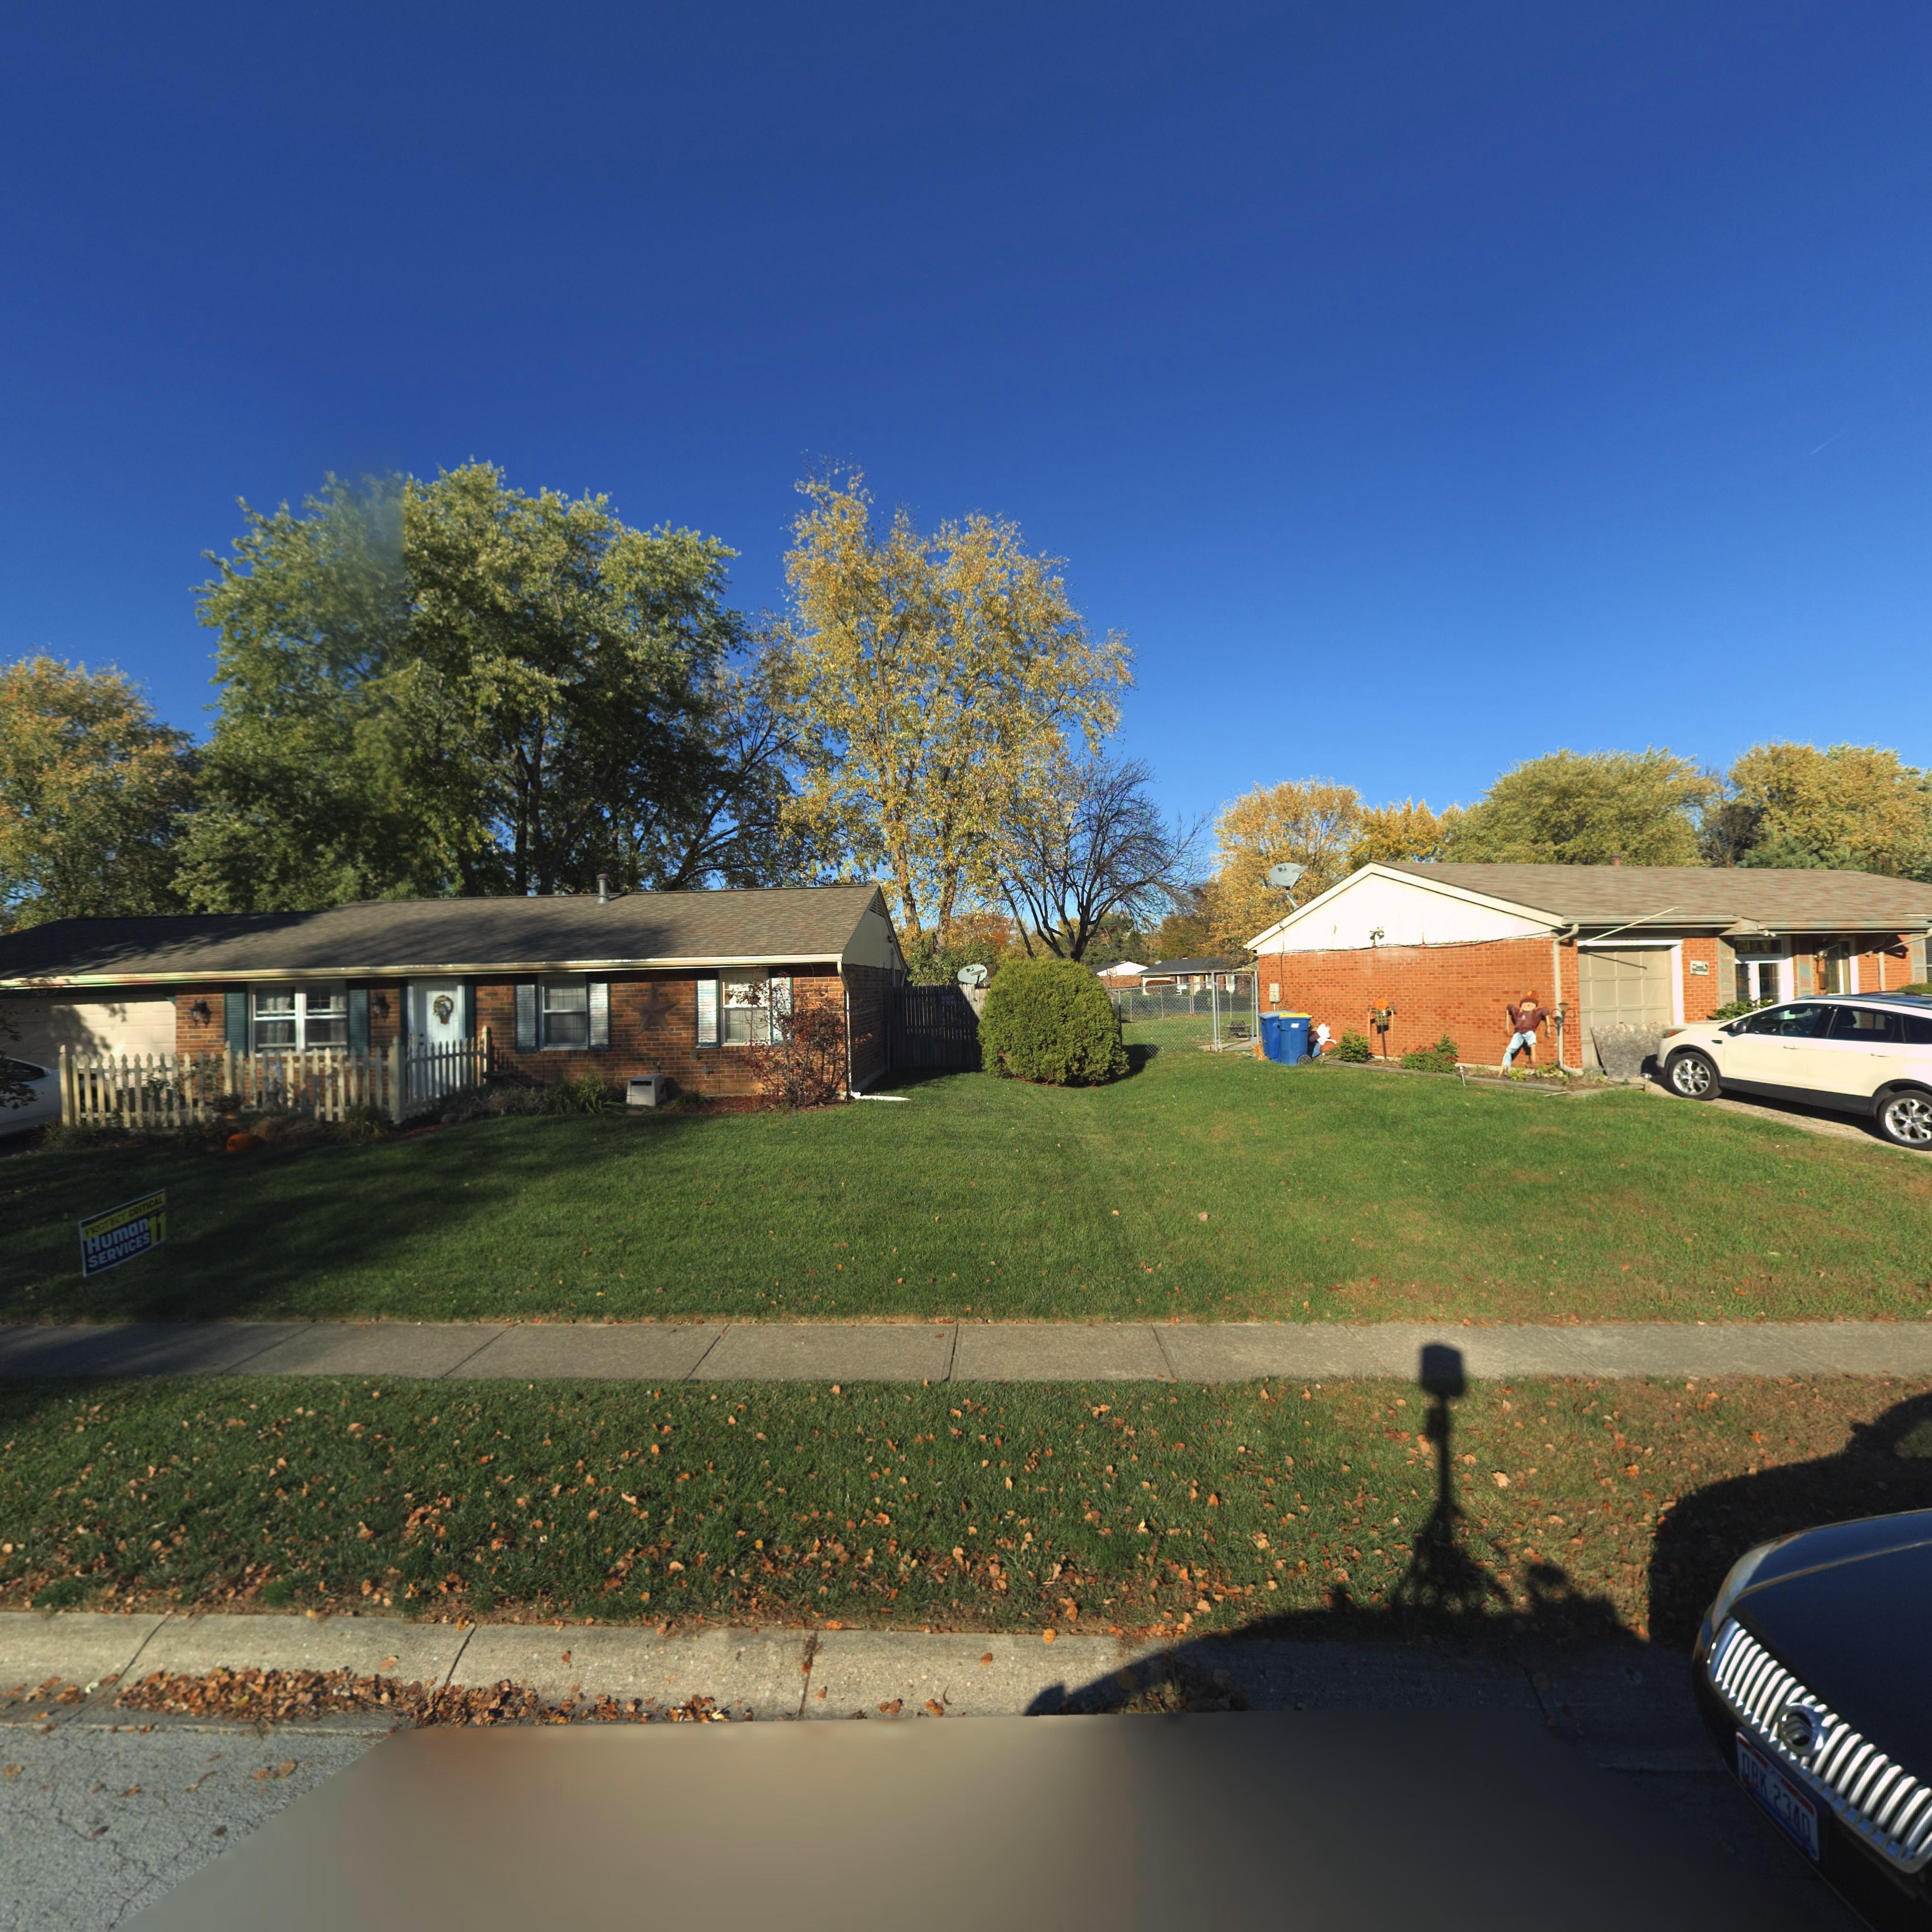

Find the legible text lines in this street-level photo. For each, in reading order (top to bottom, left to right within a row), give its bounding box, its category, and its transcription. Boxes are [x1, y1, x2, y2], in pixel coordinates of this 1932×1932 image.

[40, 990, 47, 996] StreetNumber: 7